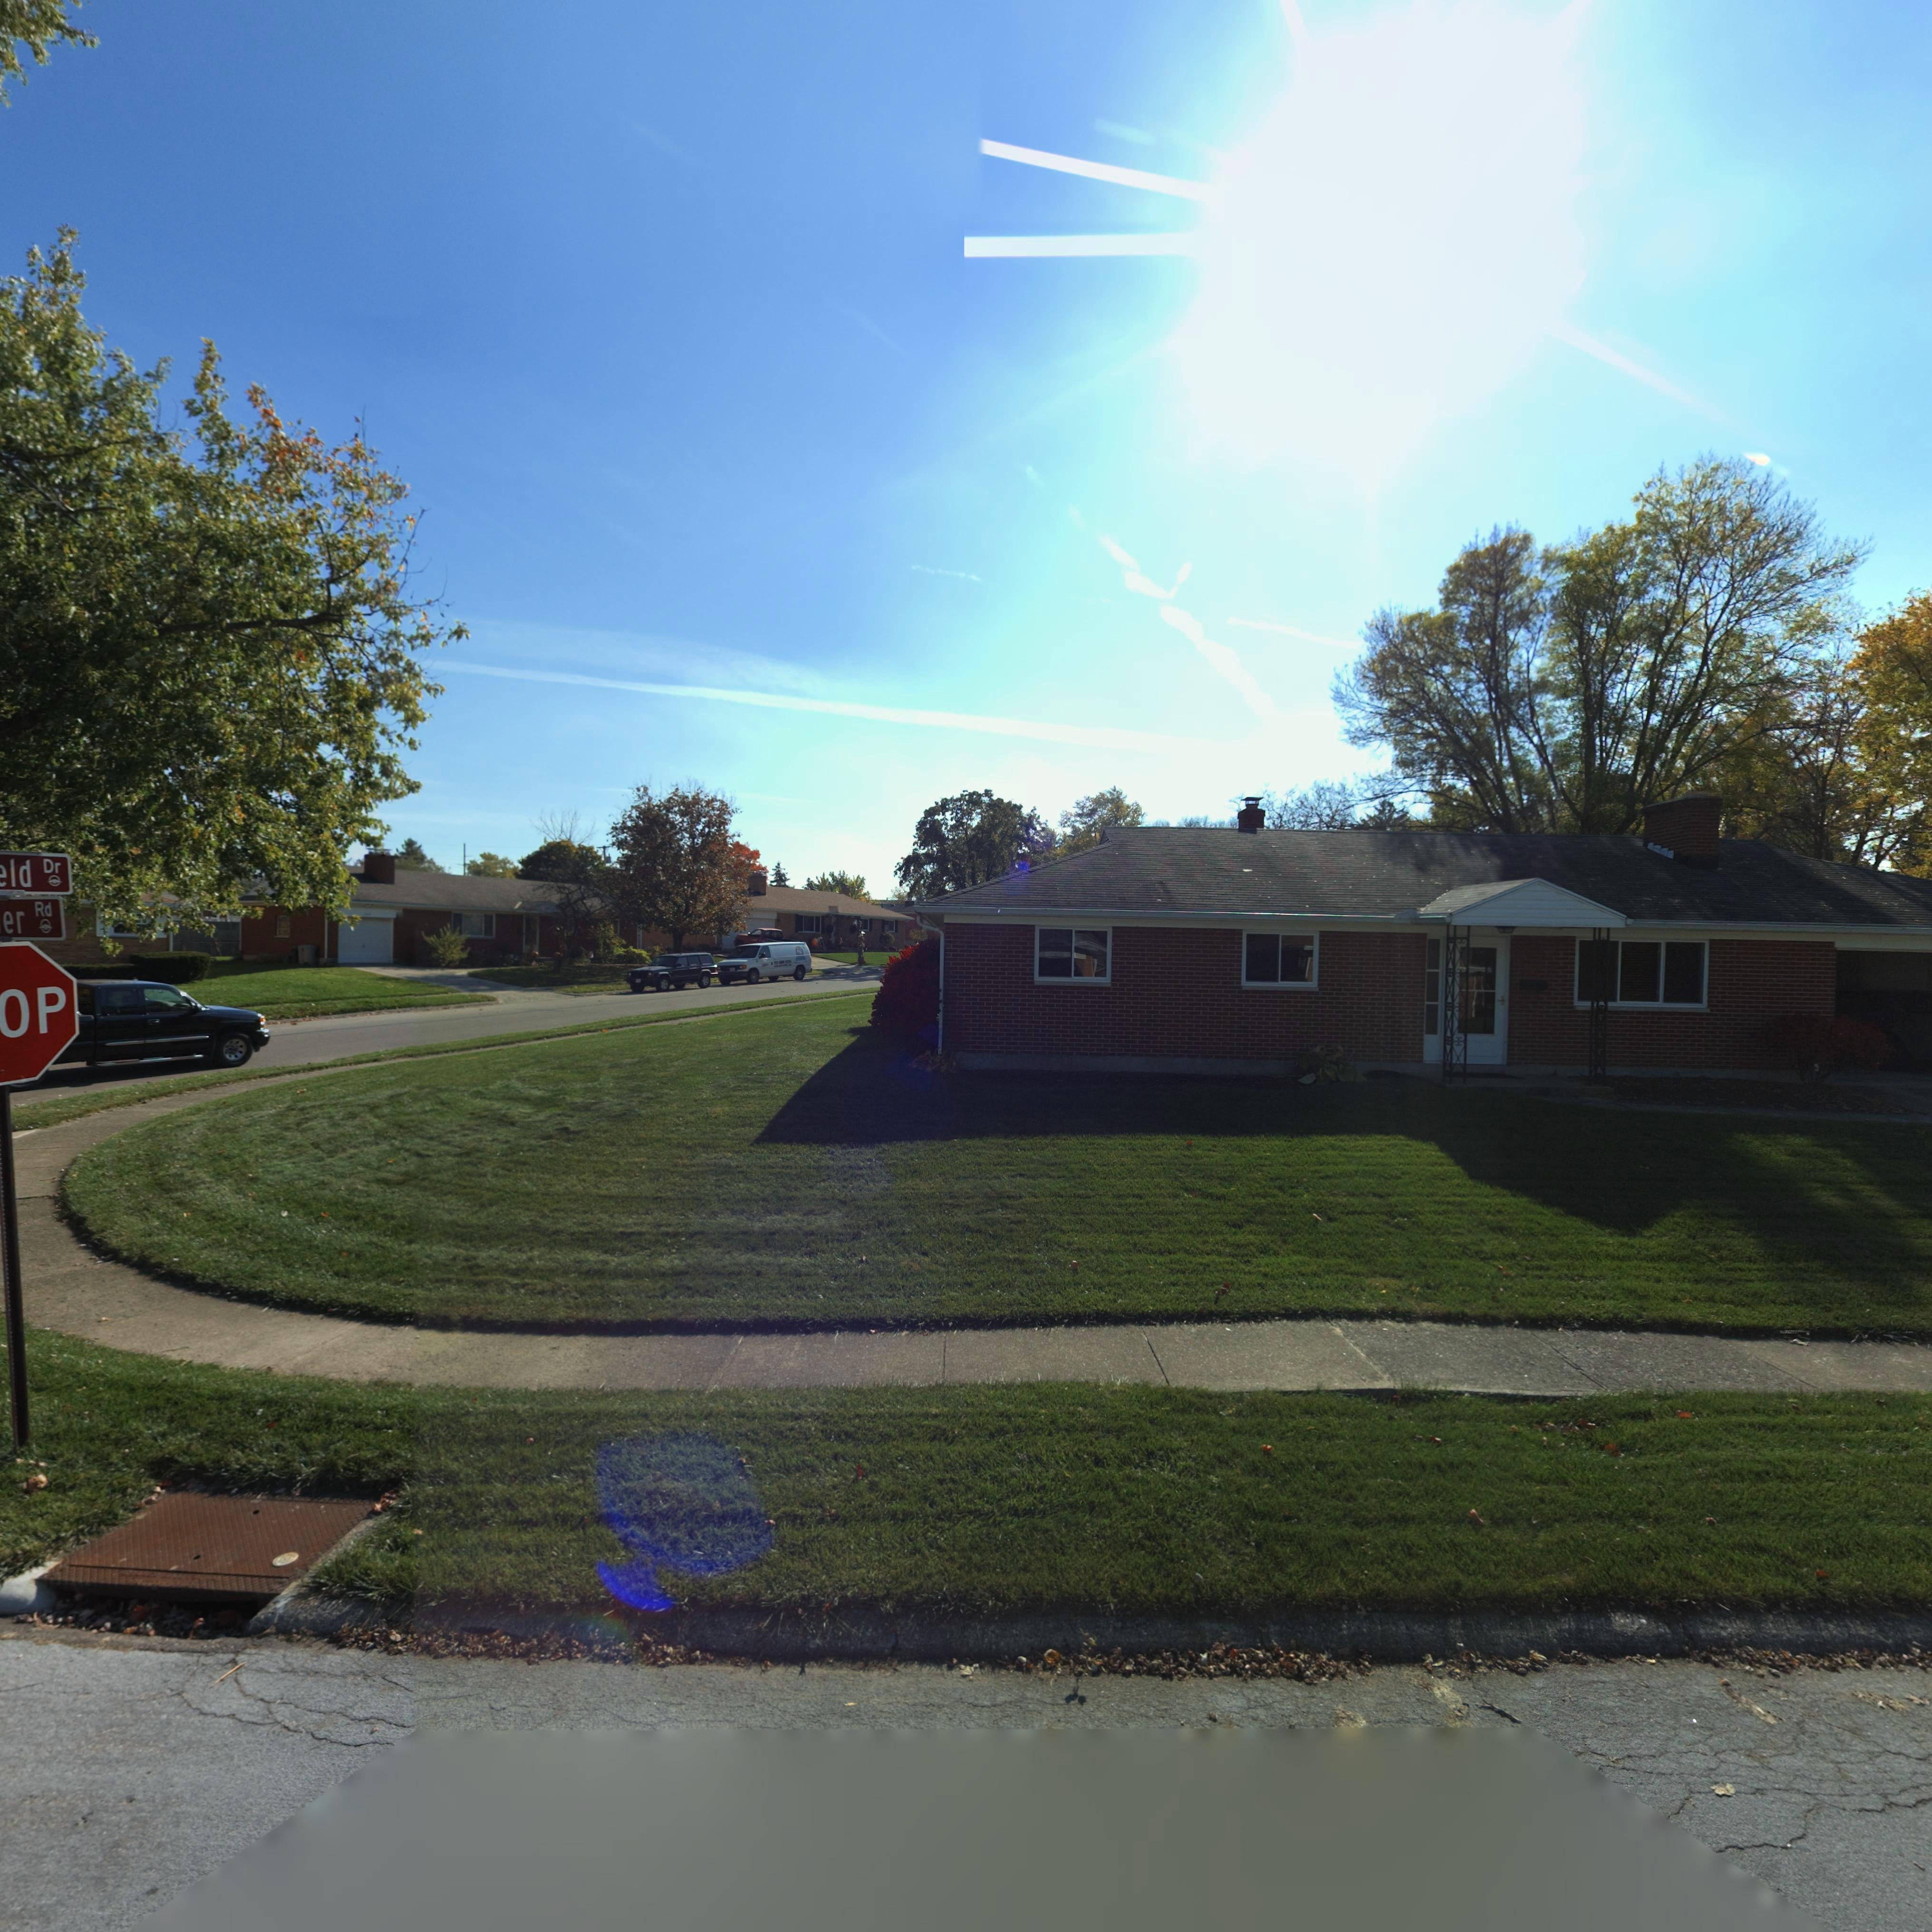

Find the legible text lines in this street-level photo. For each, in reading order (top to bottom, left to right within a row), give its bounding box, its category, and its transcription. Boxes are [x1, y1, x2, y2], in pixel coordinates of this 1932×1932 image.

[8, 856, 63, 890] StreetName: ld Dr
[0, 899, 54, 936] StreetName: er Rd